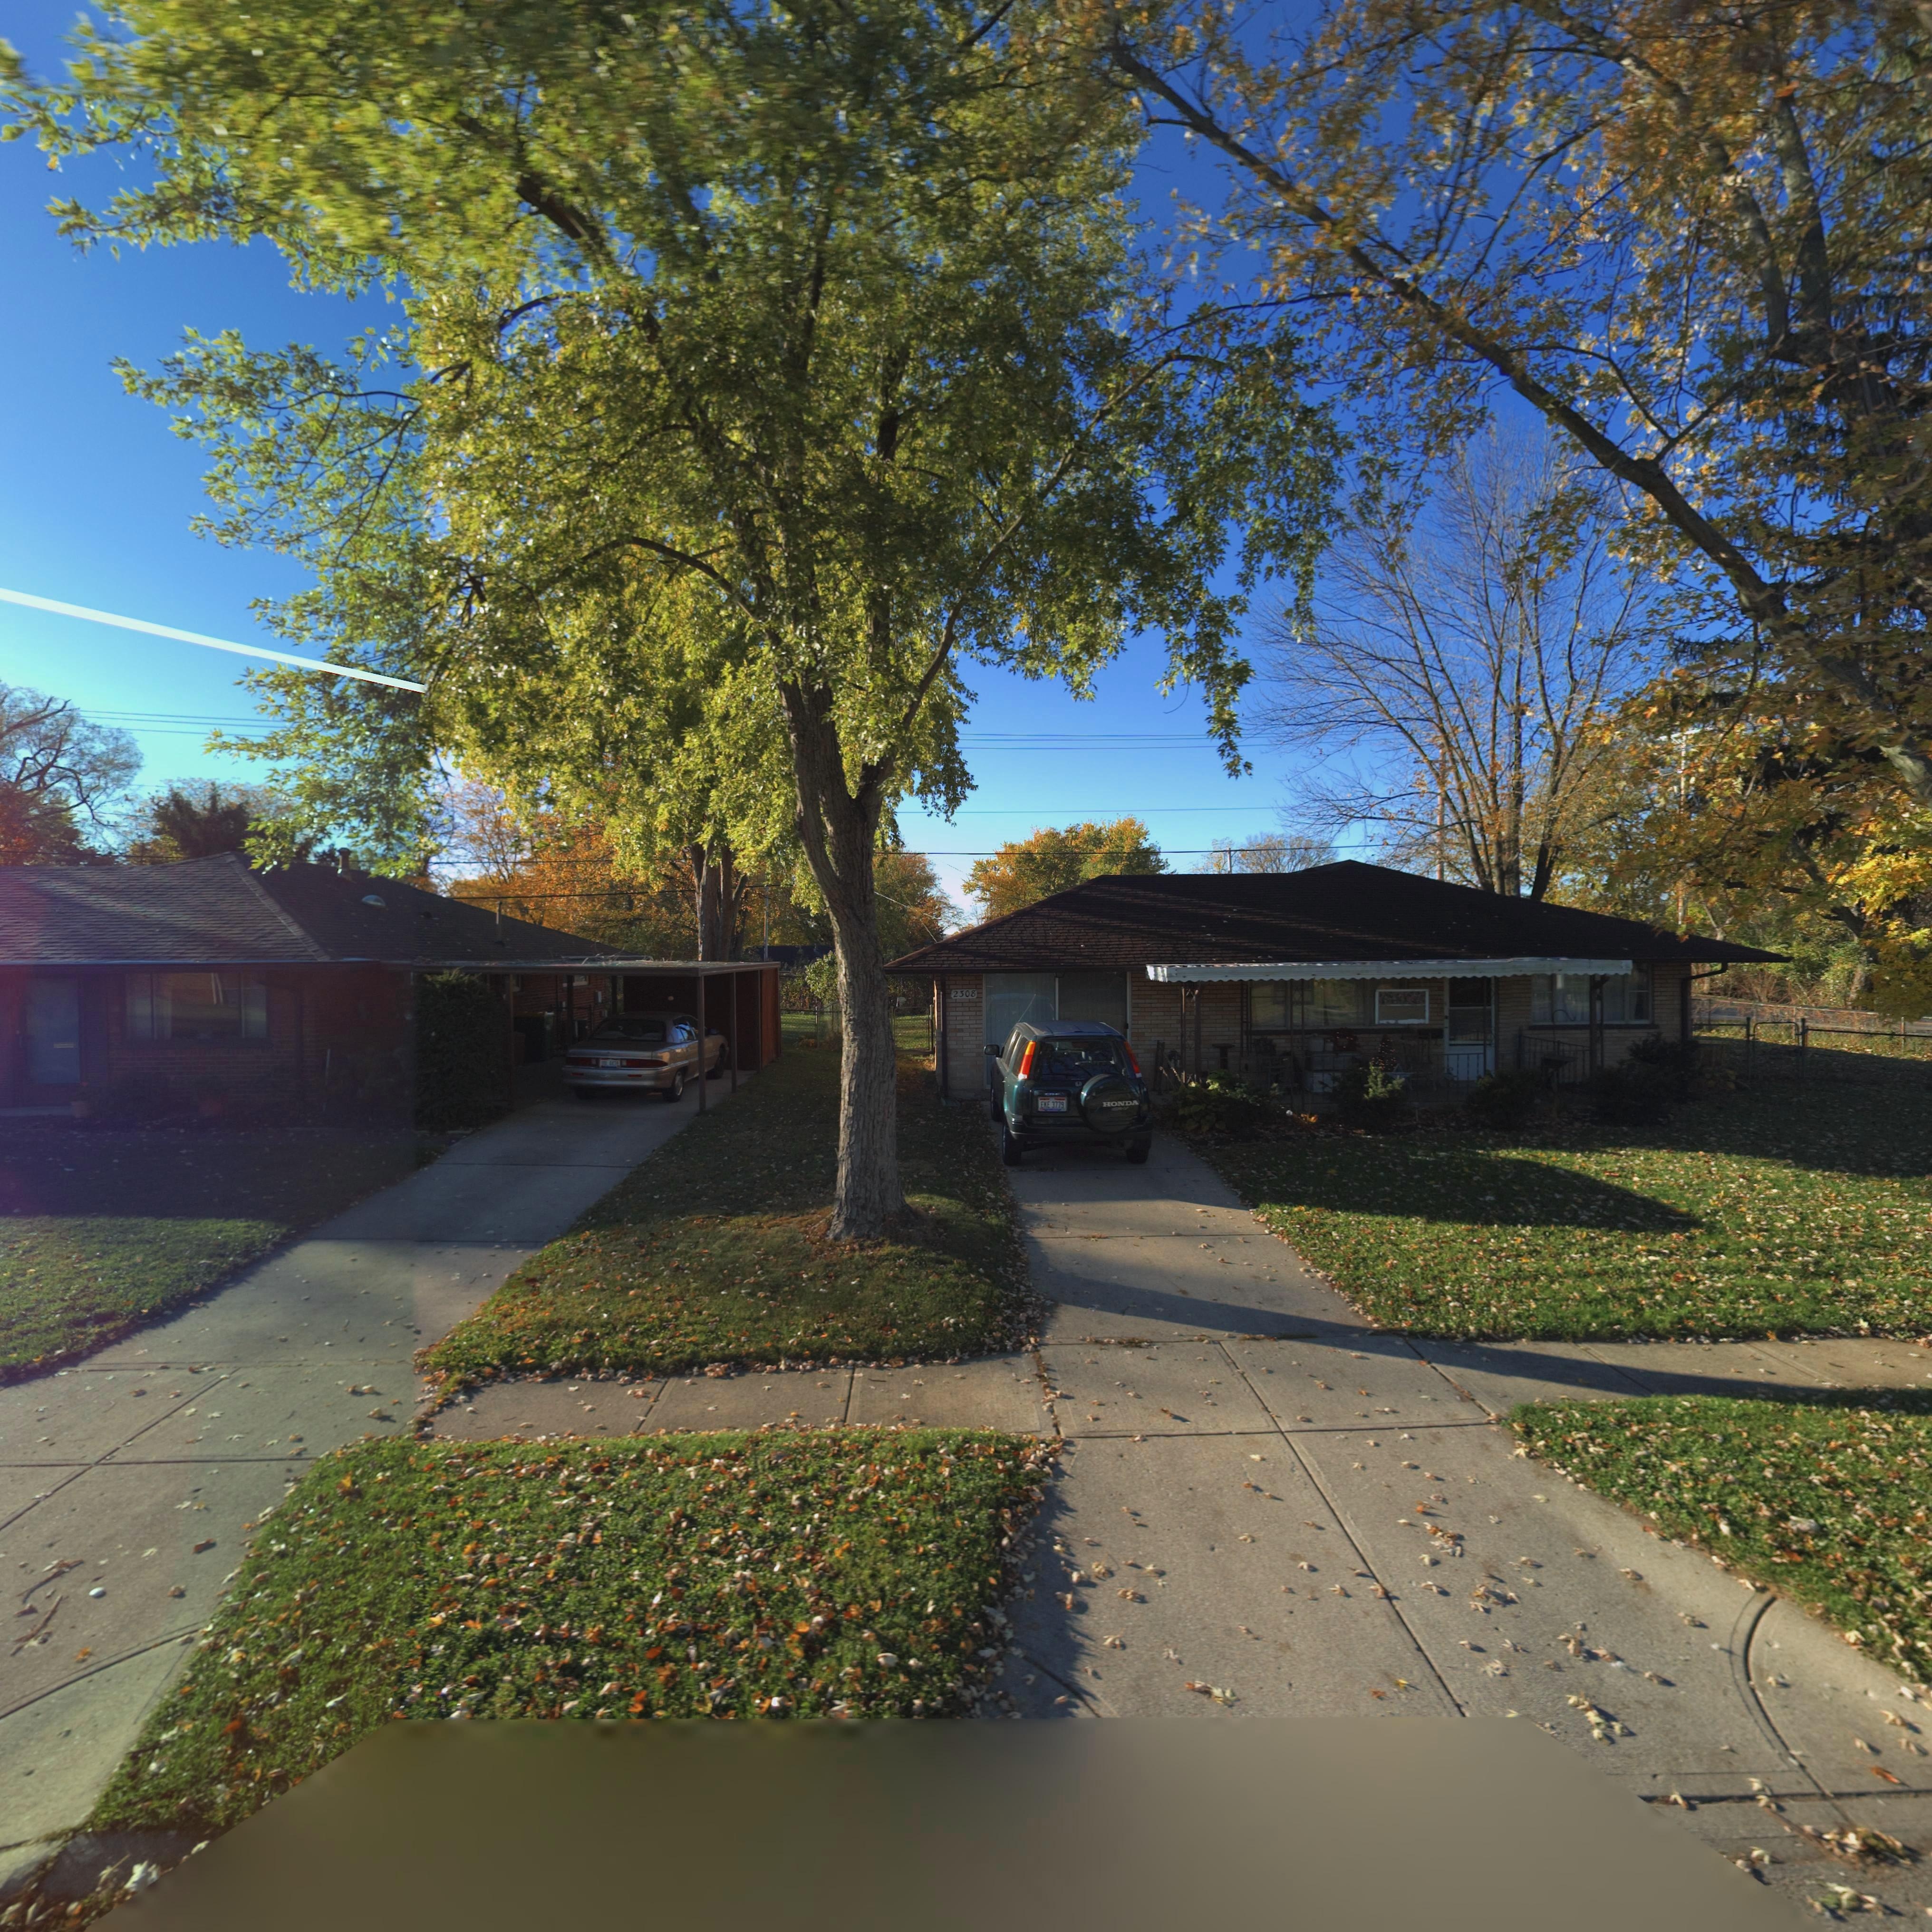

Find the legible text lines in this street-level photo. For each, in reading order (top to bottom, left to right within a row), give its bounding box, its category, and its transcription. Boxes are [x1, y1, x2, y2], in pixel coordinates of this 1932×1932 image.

[953, 989, 976, 998] StreetNumber: 2308